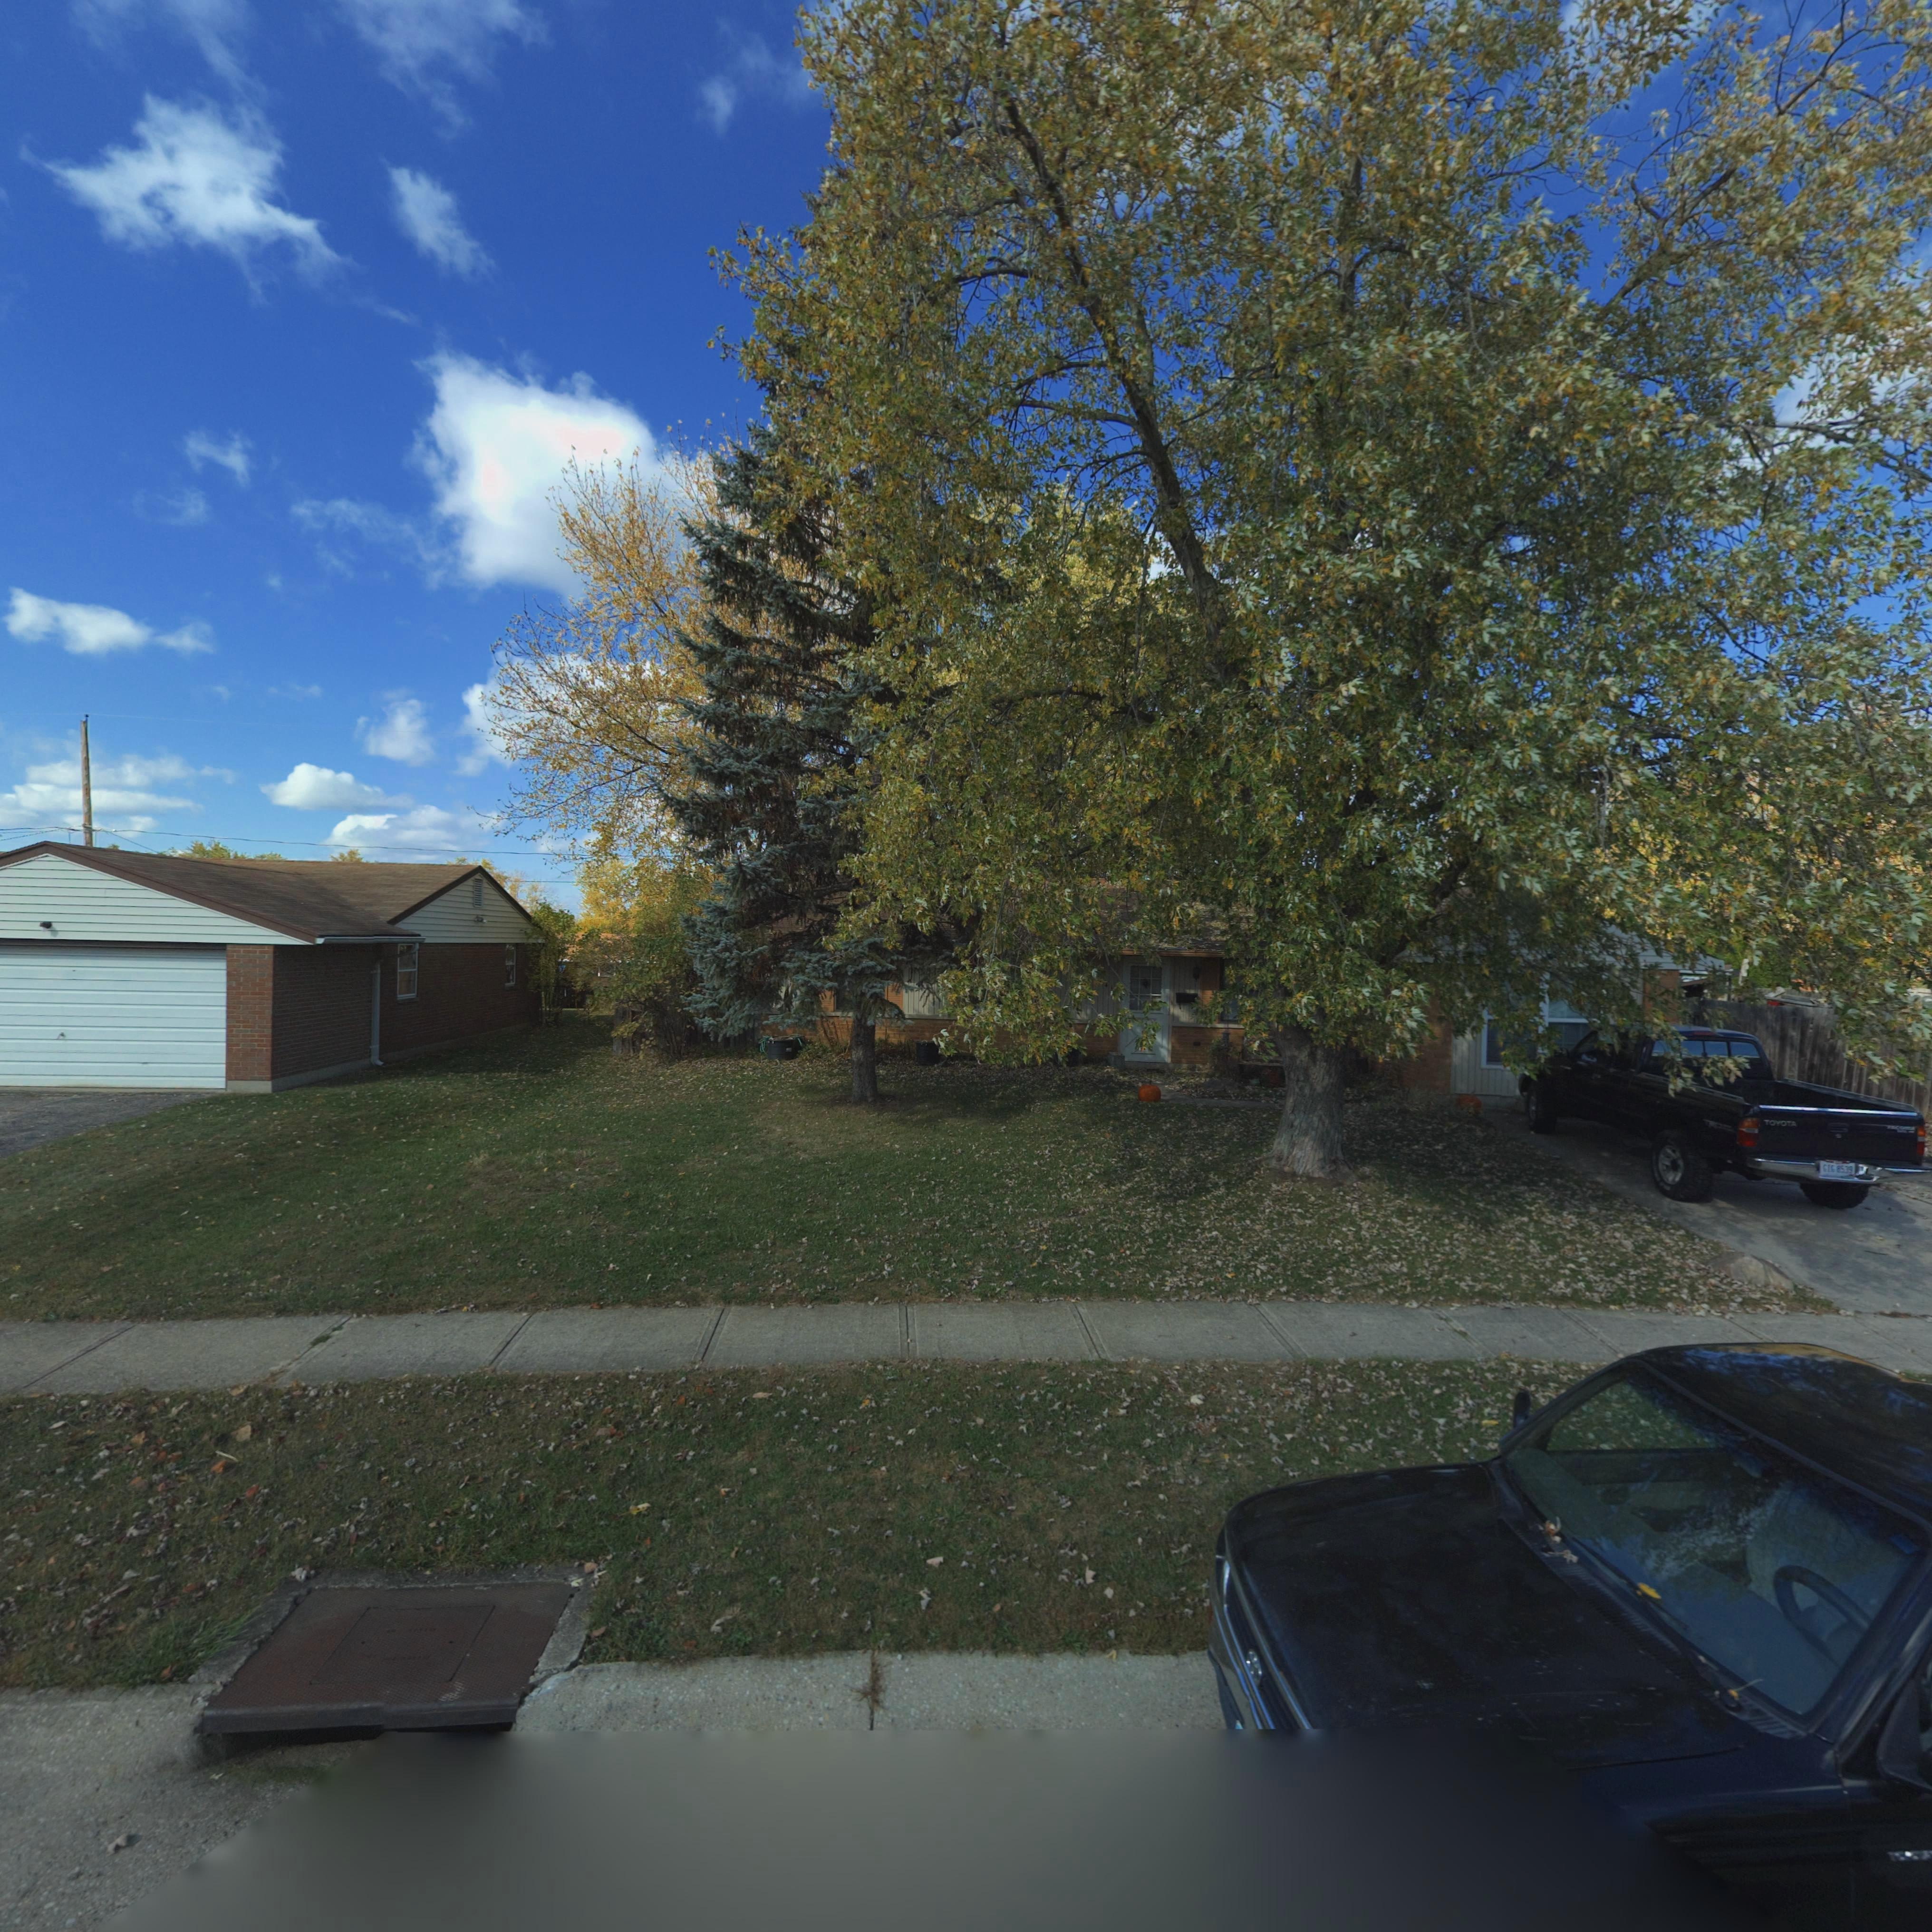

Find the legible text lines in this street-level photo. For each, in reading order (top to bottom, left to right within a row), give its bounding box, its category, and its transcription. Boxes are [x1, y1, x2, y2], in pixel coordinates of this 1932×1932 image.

[1111, 984, 1113, 990] StreetNumber: 1